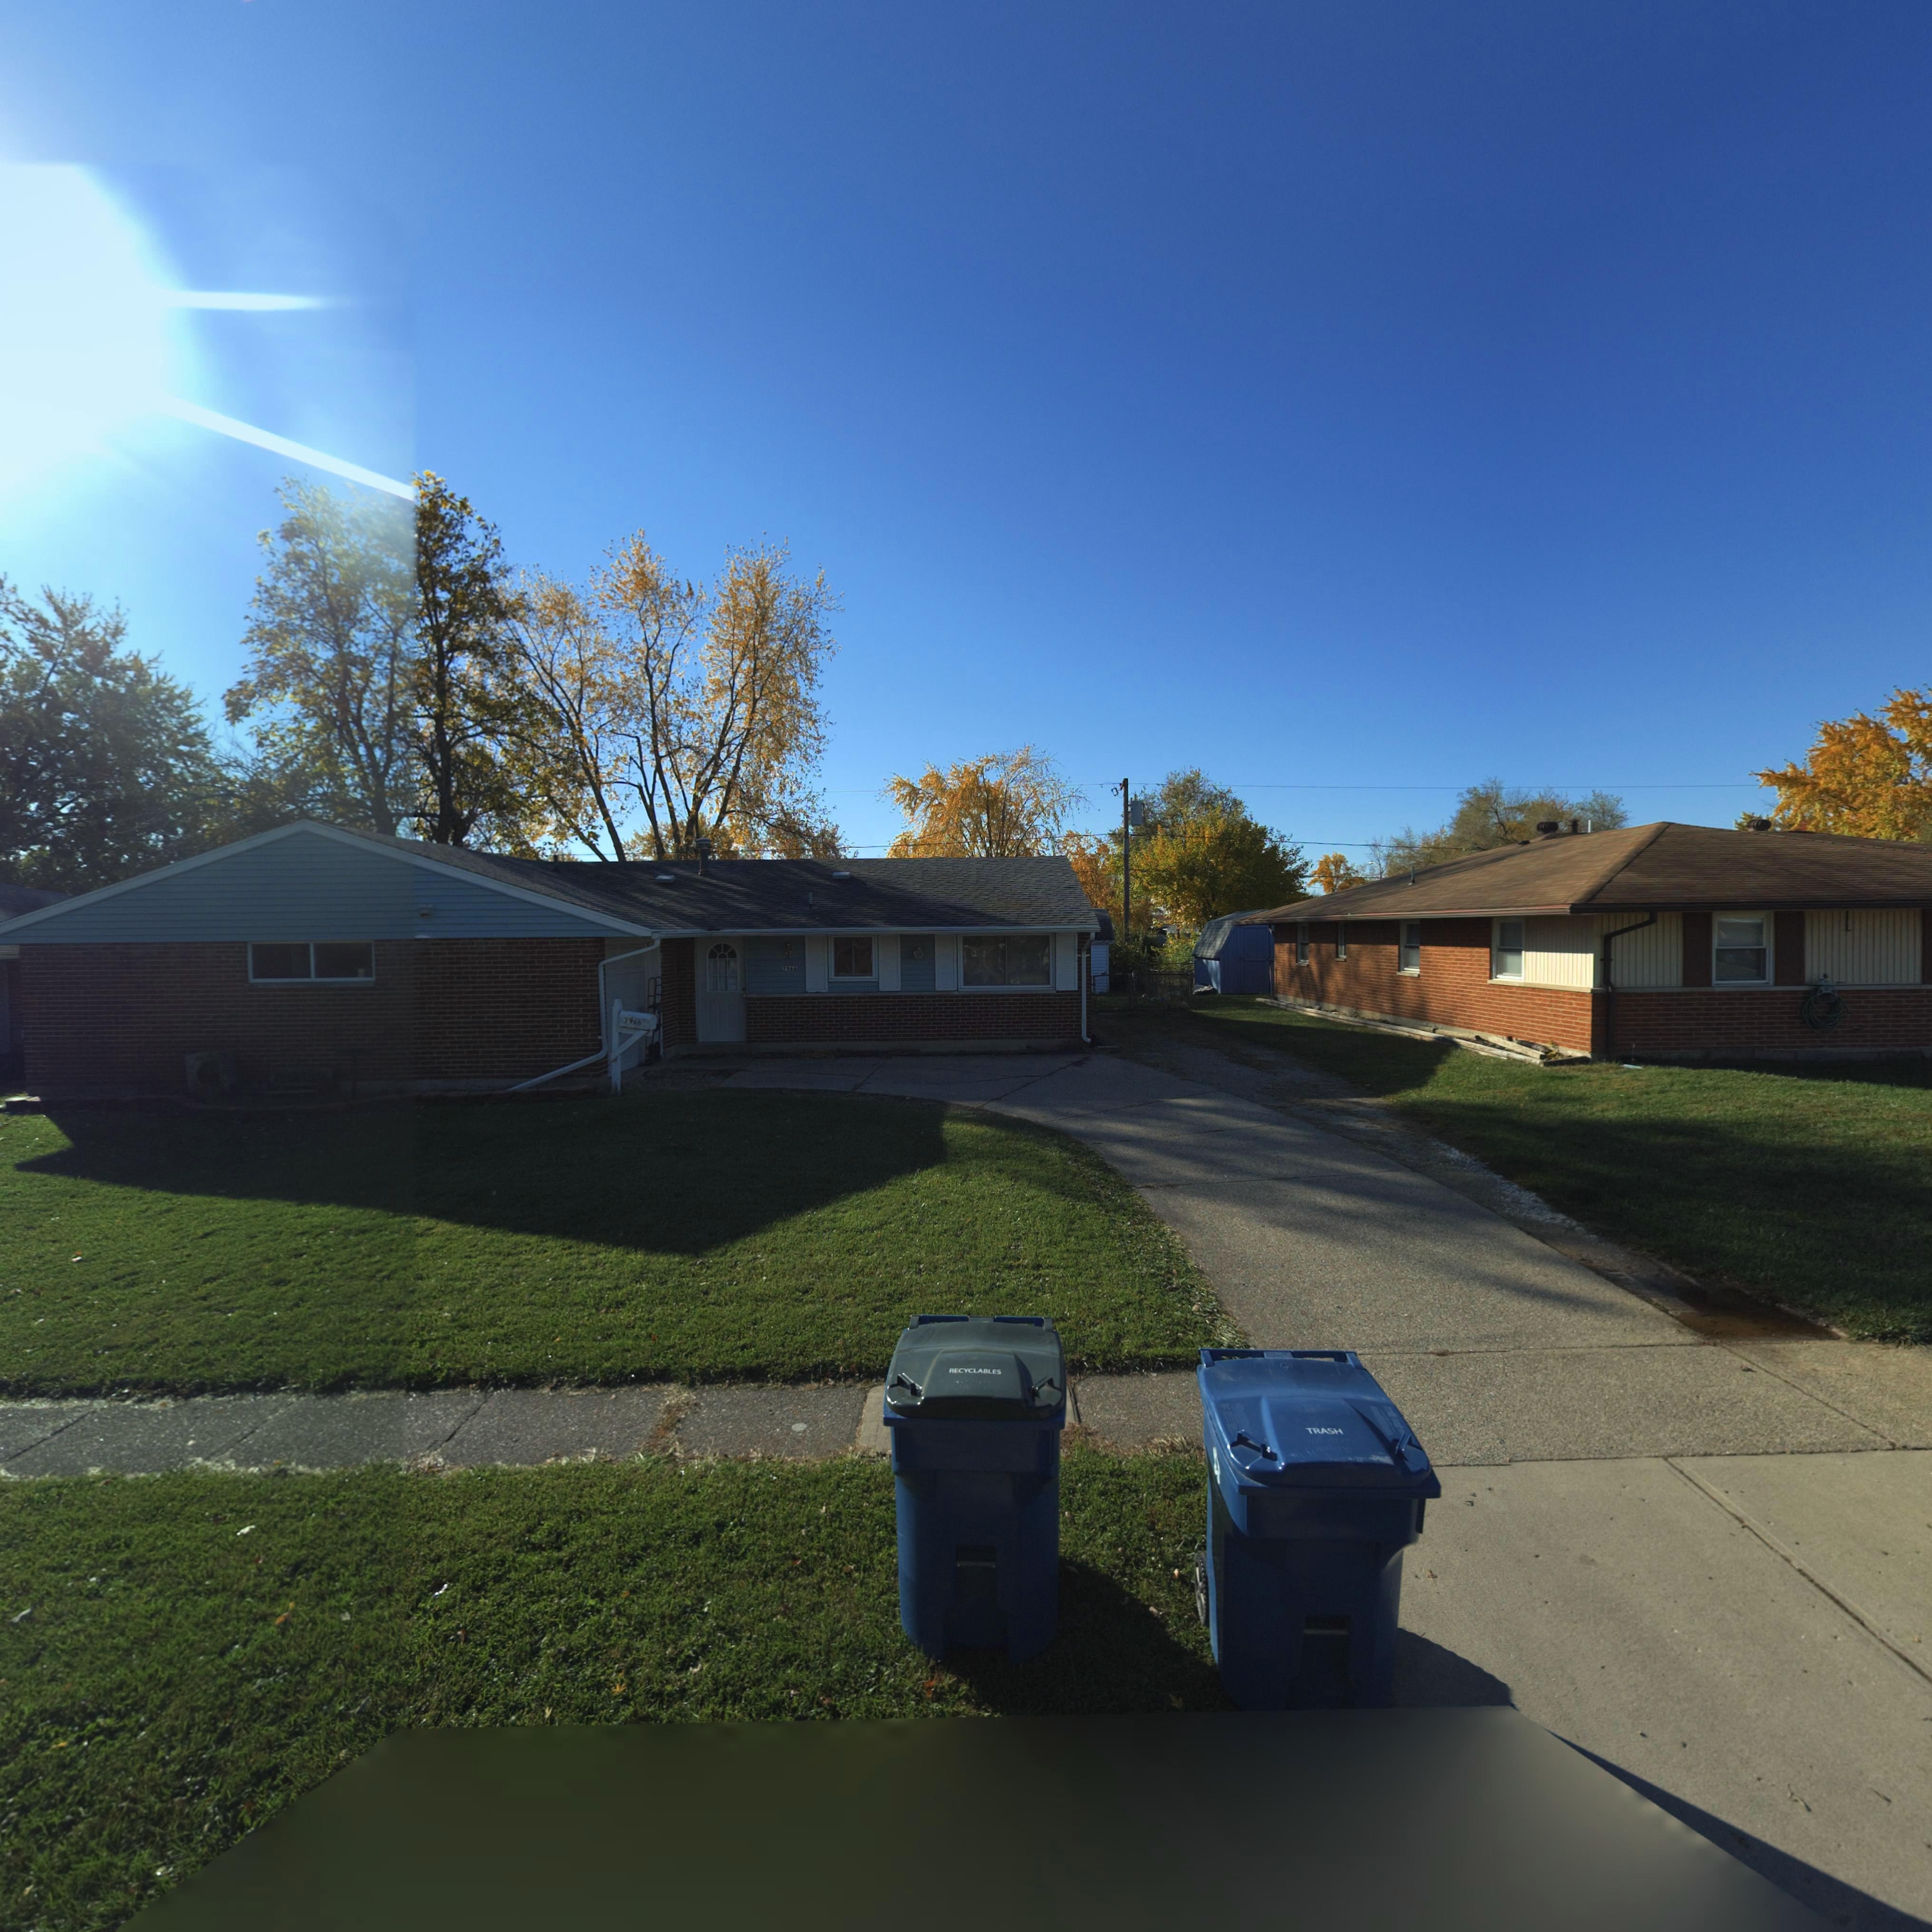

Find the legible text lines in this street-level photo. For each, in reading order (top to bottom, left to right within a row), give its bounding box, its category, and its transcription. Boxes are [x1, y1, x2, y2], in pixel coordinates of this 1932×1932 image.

[782, 966, 798, 972] StreetNumber: 79*6
[623, 1017, 642, 1026] StreetNumber: 7966